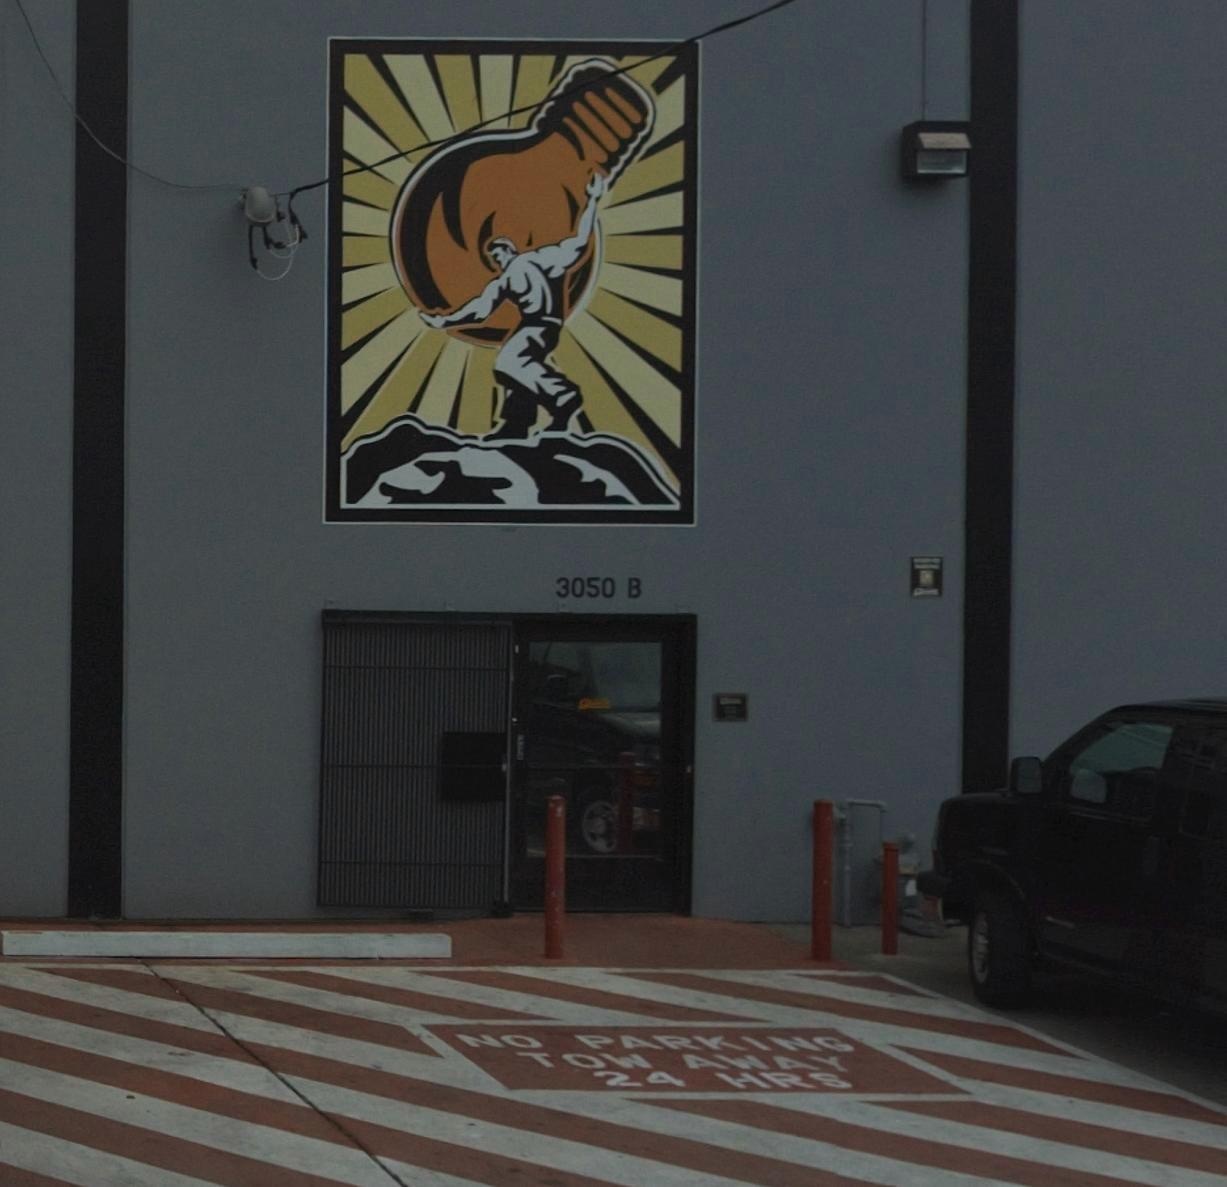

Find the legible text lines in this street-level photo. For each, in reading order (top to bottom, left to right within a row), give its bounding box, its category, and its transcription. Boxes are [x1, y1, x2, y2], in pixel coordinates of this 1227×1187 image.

[554, 575, 644, 600] StreetNumber: 3050 B
[453, 1032, 863, 1054] None: NO PARKING
[512, 1050, 852, 1073] None: TOW AWAY
[590, 1070, 857, 1088] None: 24 HRS